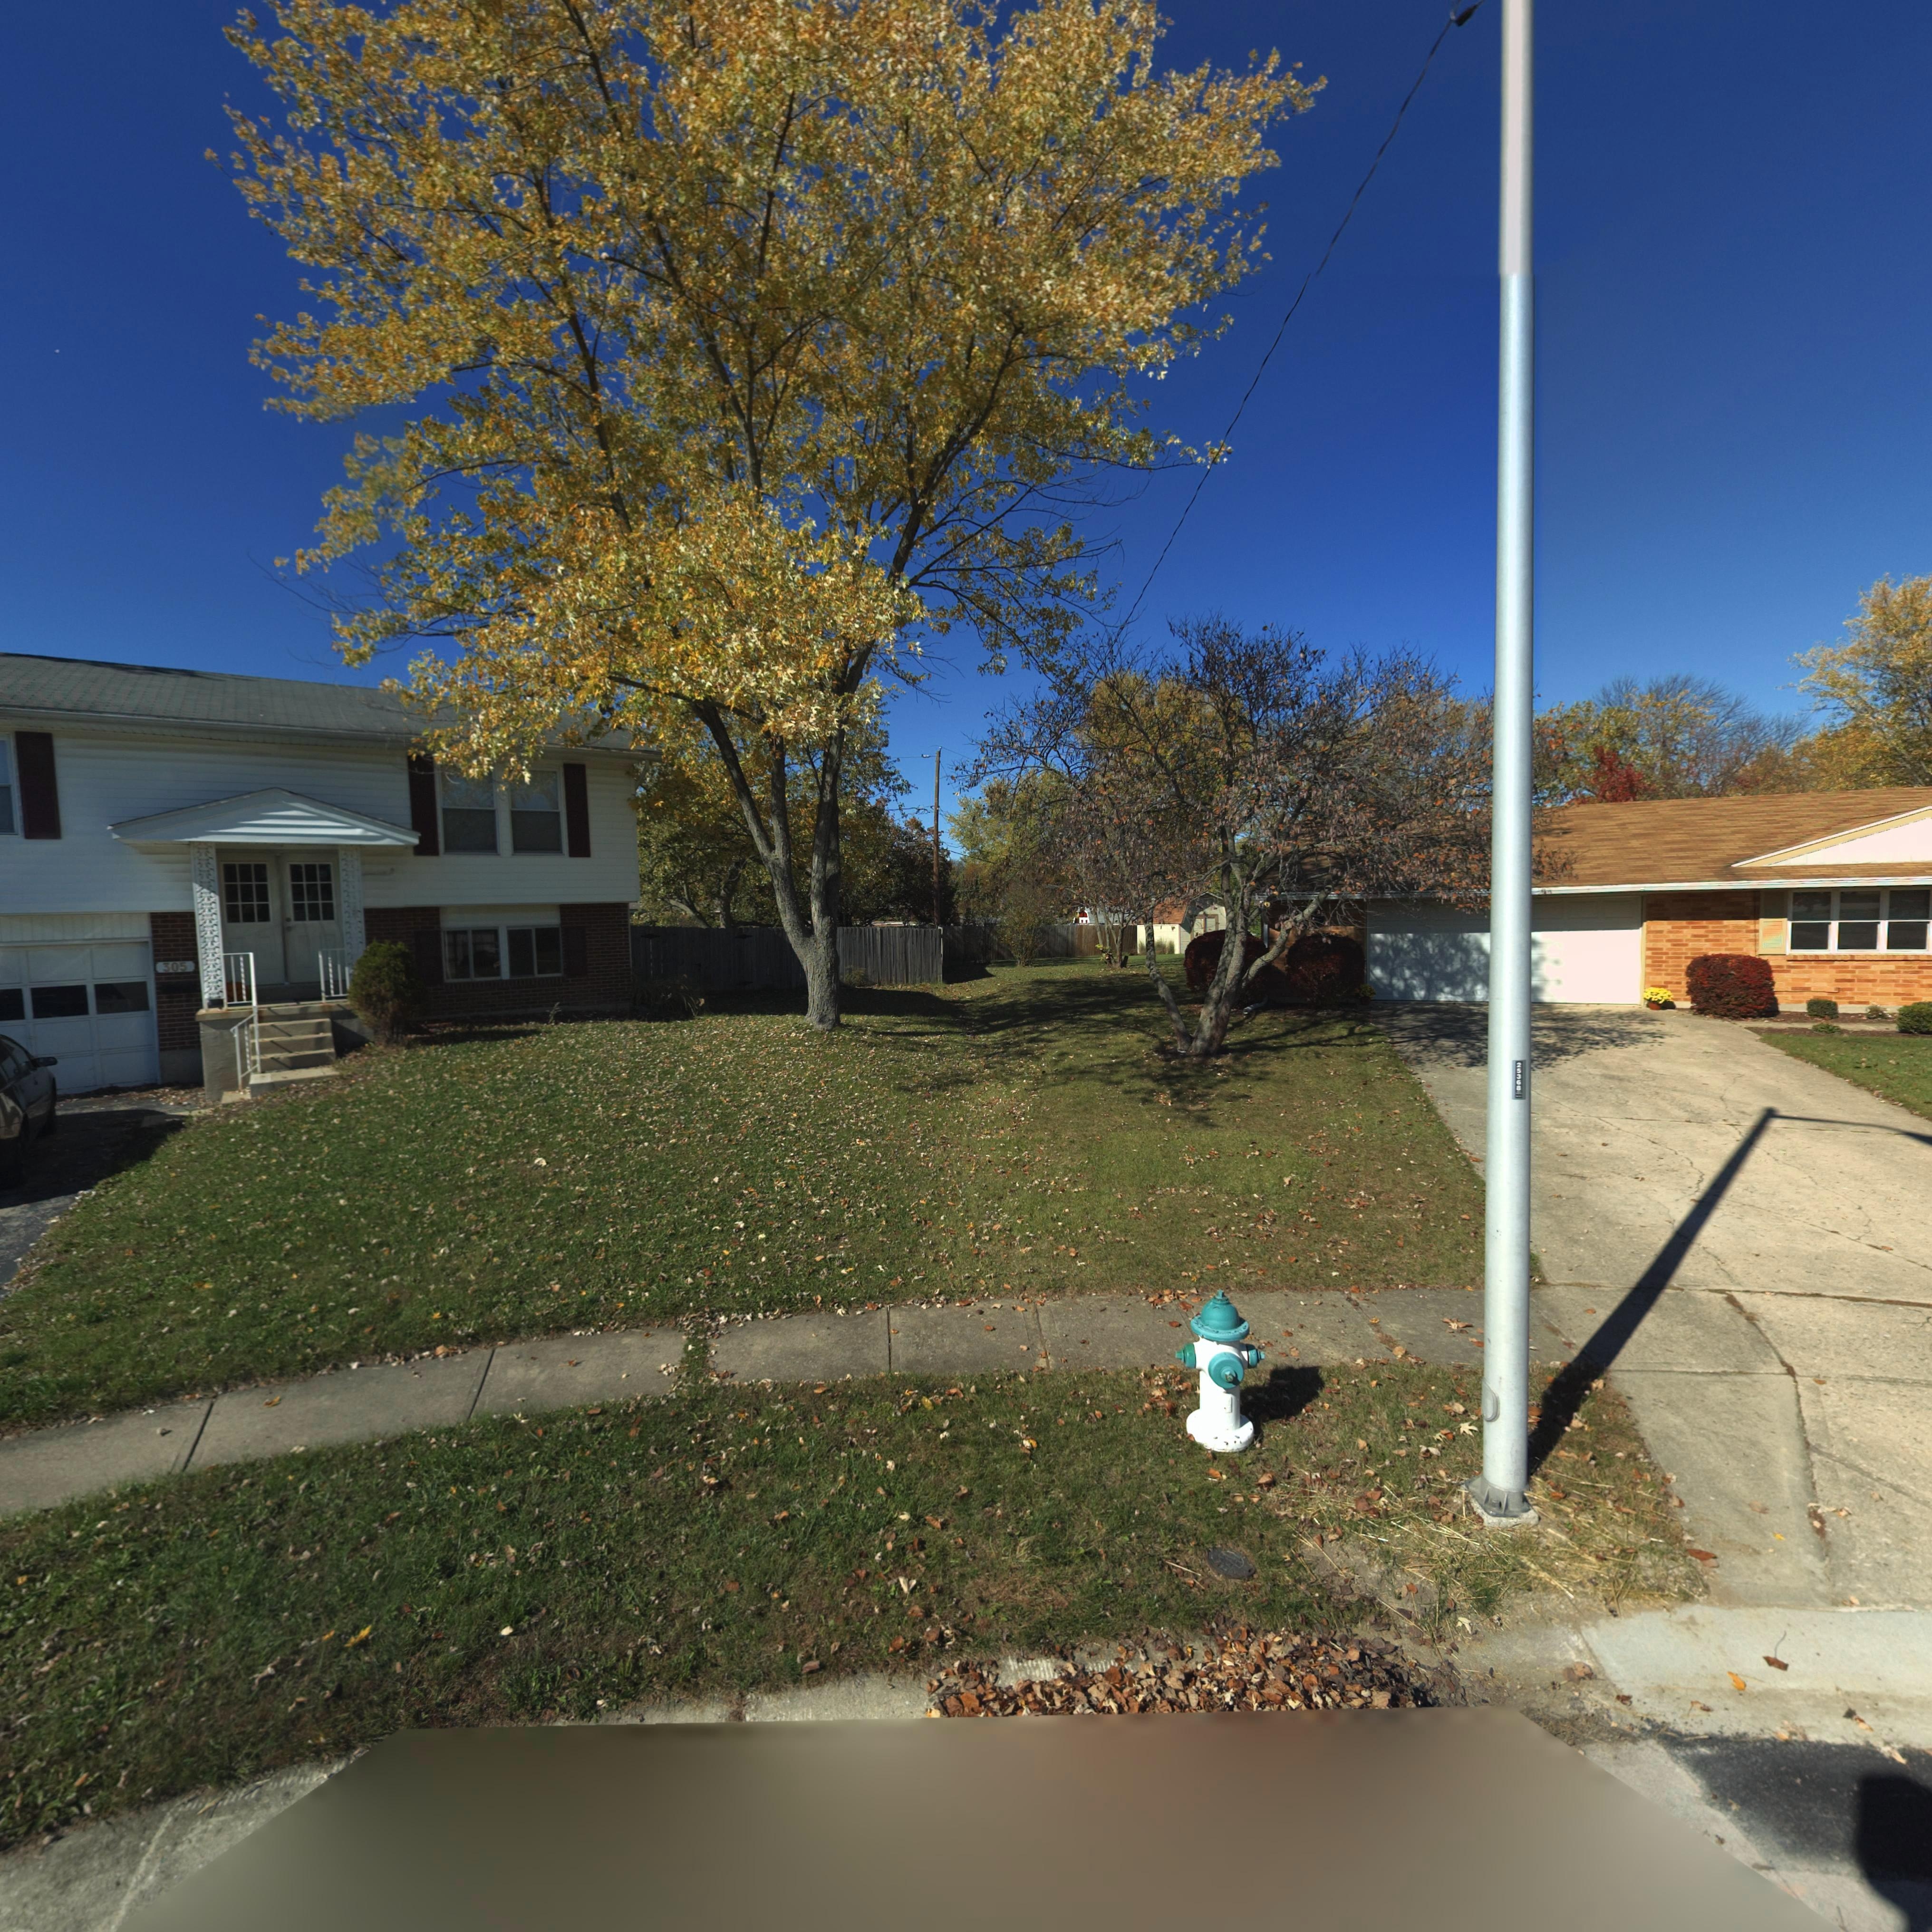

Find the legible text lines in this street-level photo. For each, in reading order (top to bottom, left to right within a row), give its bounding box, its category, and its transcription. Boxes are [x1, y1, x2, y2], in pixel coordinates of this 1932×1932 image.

[162, 961, 188, 974] StreetNumber: 305